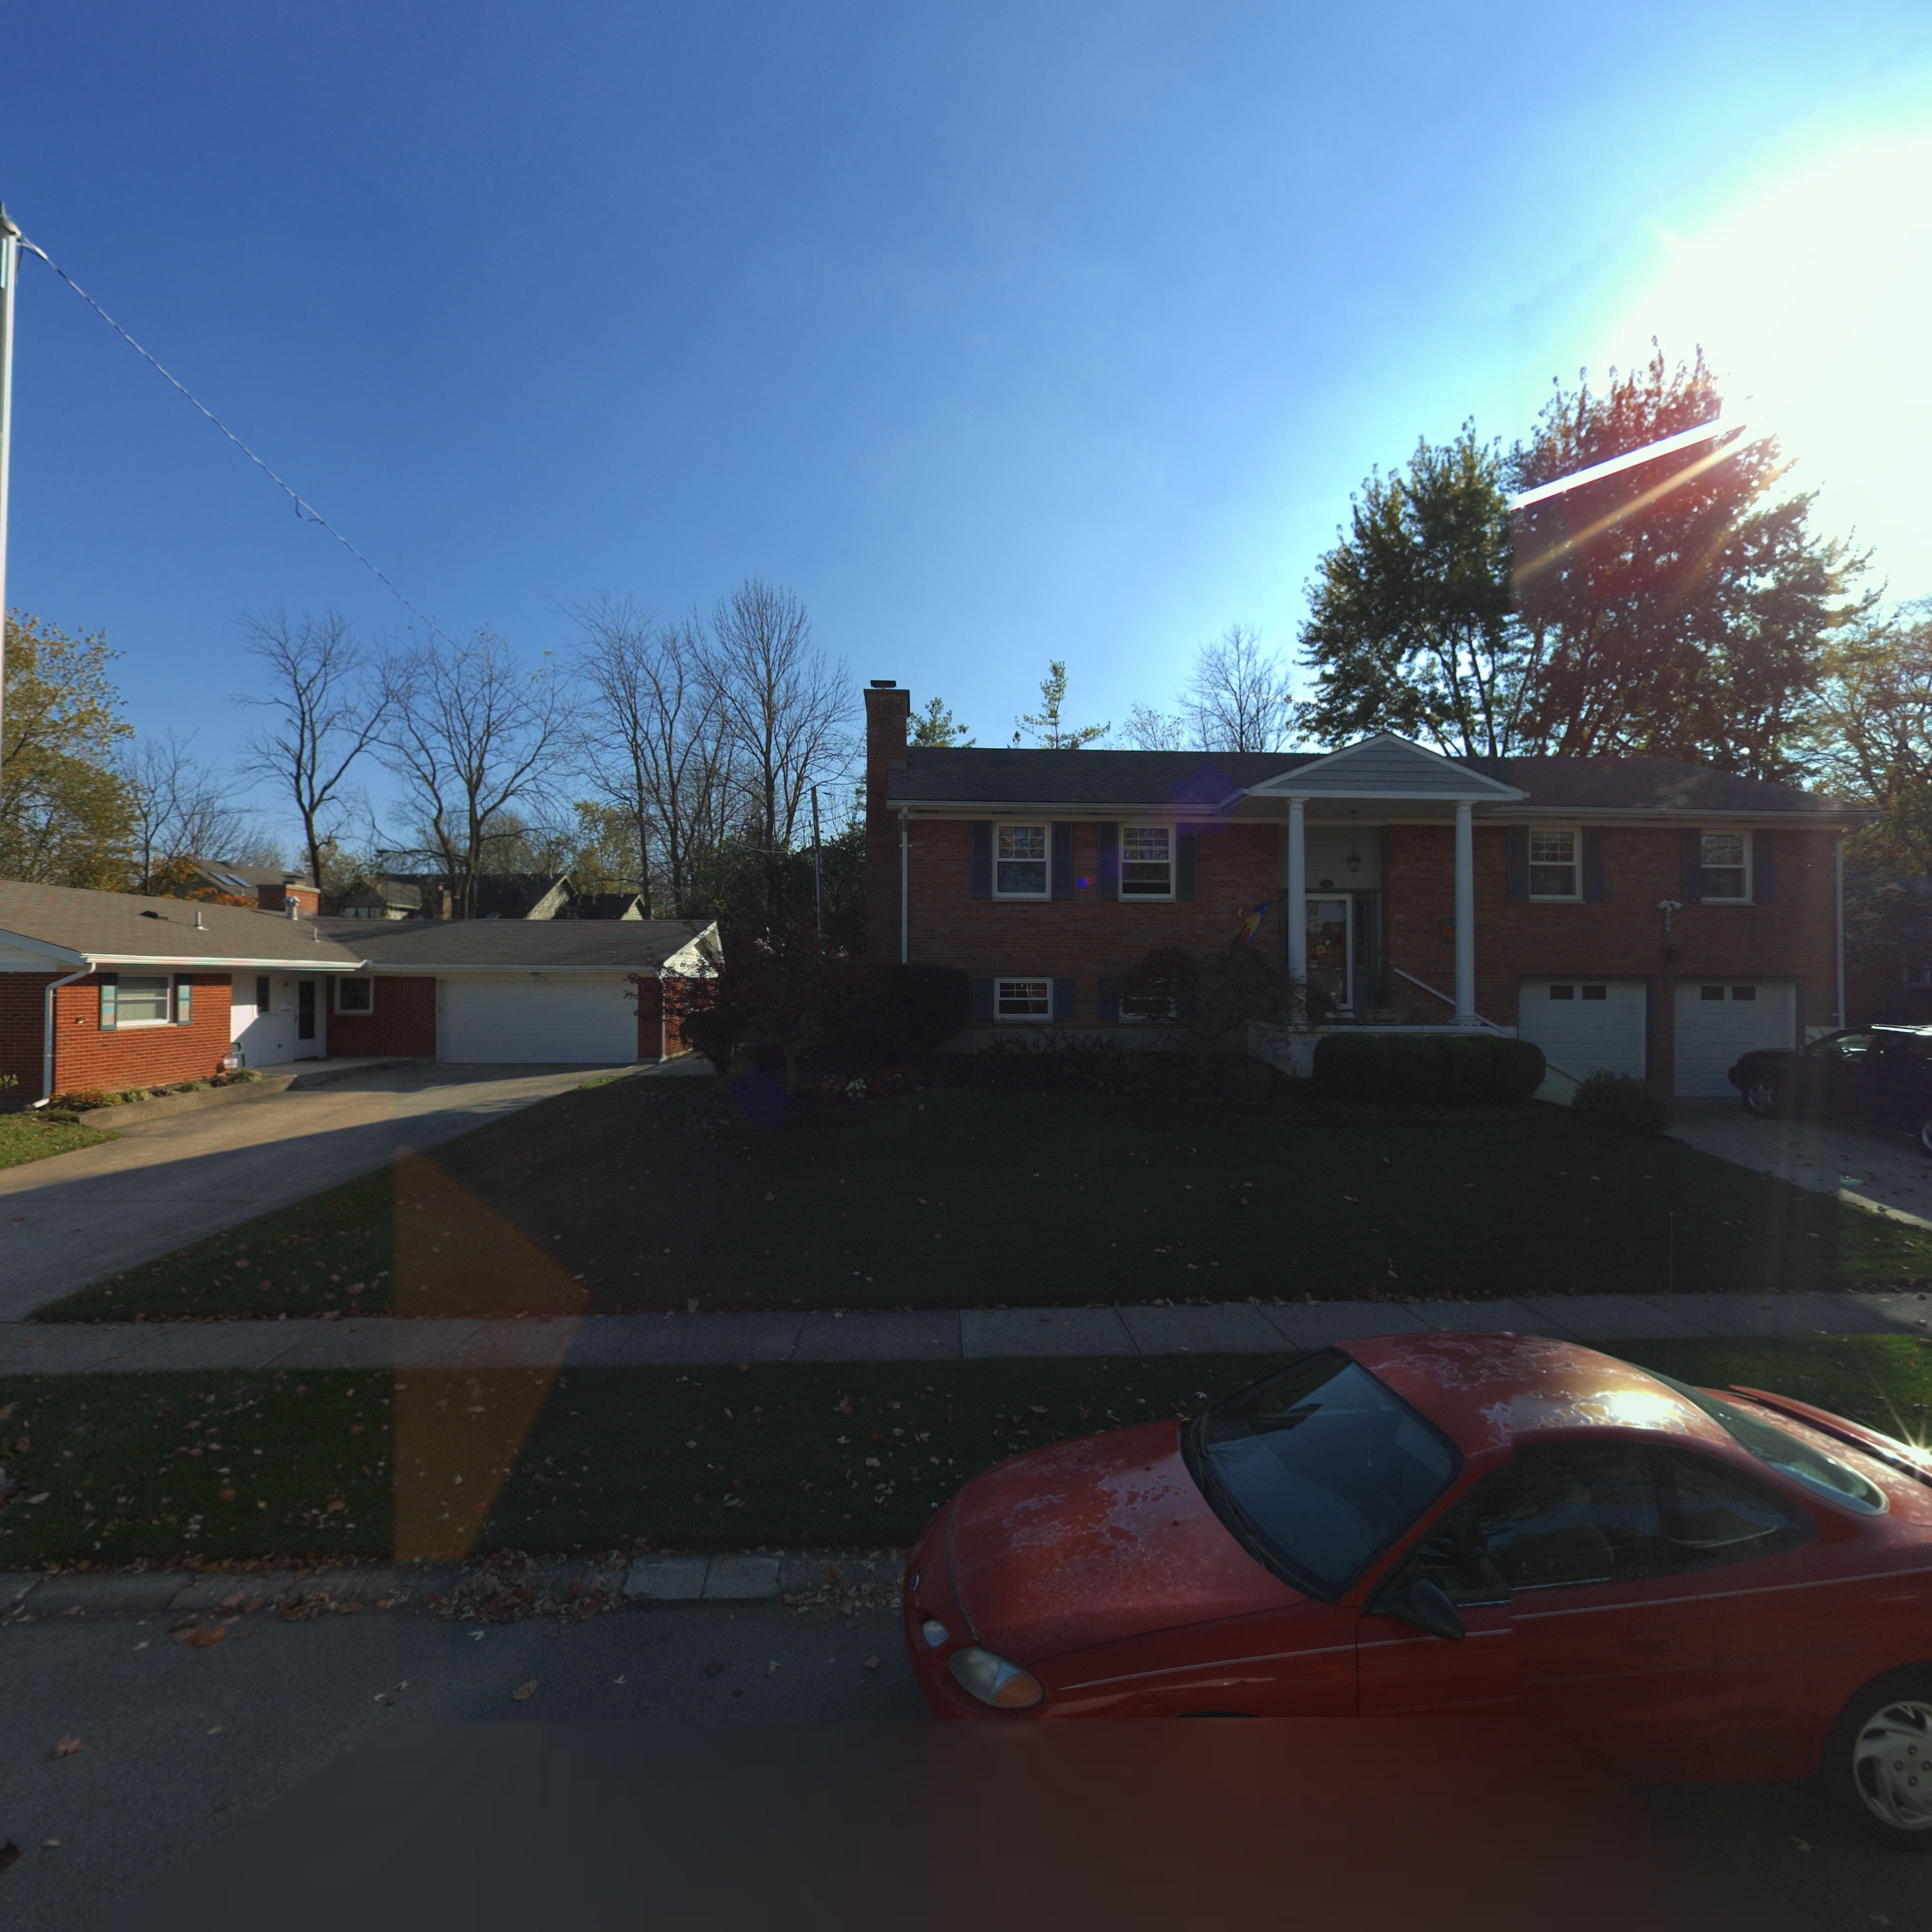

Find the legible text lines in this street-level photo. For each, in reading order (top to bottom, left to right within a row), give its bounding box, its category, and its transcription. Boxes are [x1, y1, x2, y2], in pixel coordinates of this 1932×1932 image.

[1665, 917, 1671, 932] StreetNumber: 04